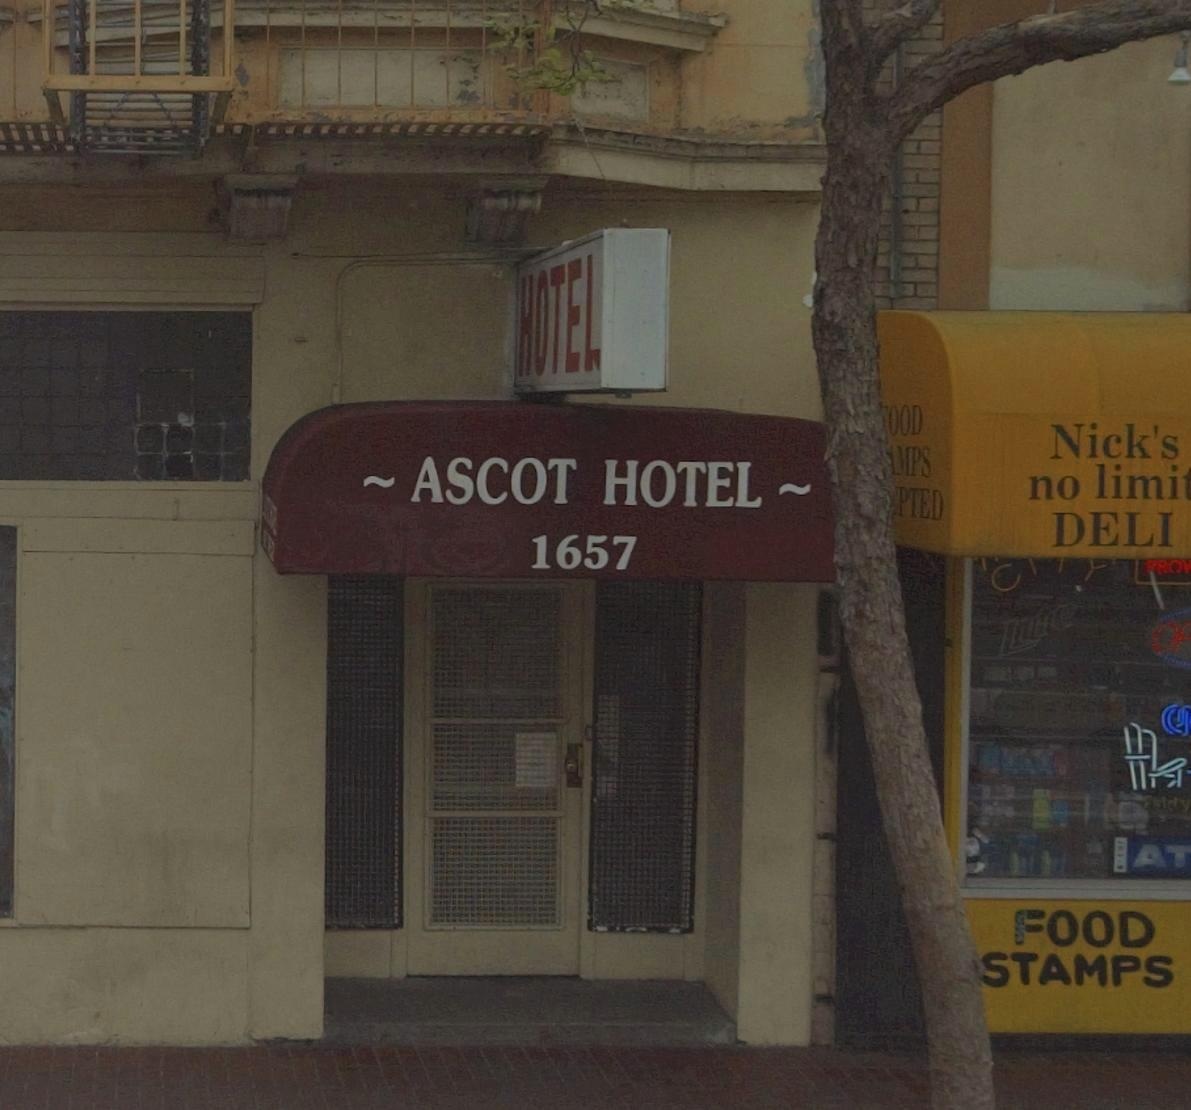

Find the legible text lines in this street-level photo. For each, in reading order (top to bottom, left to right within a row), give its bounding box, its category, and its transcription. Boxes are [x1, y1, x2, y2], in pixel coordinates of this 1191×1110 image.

[514, 246, 607, 384] None: HOTEL
[405, 450, 768, 512] BusinessName: ASCOT HOTEL
[885, 401, 926, 439] None: OOD
[894, 442, 934, 481] None: MPS
[1025, 459, 1184, 503] BusinessName: no limi
[1046, 418, 1182, 463] BusinessName: Nick's
[895, 483, 947, 524] None: PTED
[1048, 509, 1177, 550] BusinessName: DELI
[529, 532, 639, 572] StreetNumber: 1657
[1129, 840, 1172, 872] None: A
[1009, 904, 1158, 952] None: FOOD
[976, 946, 1177, 992] None: STAMPS